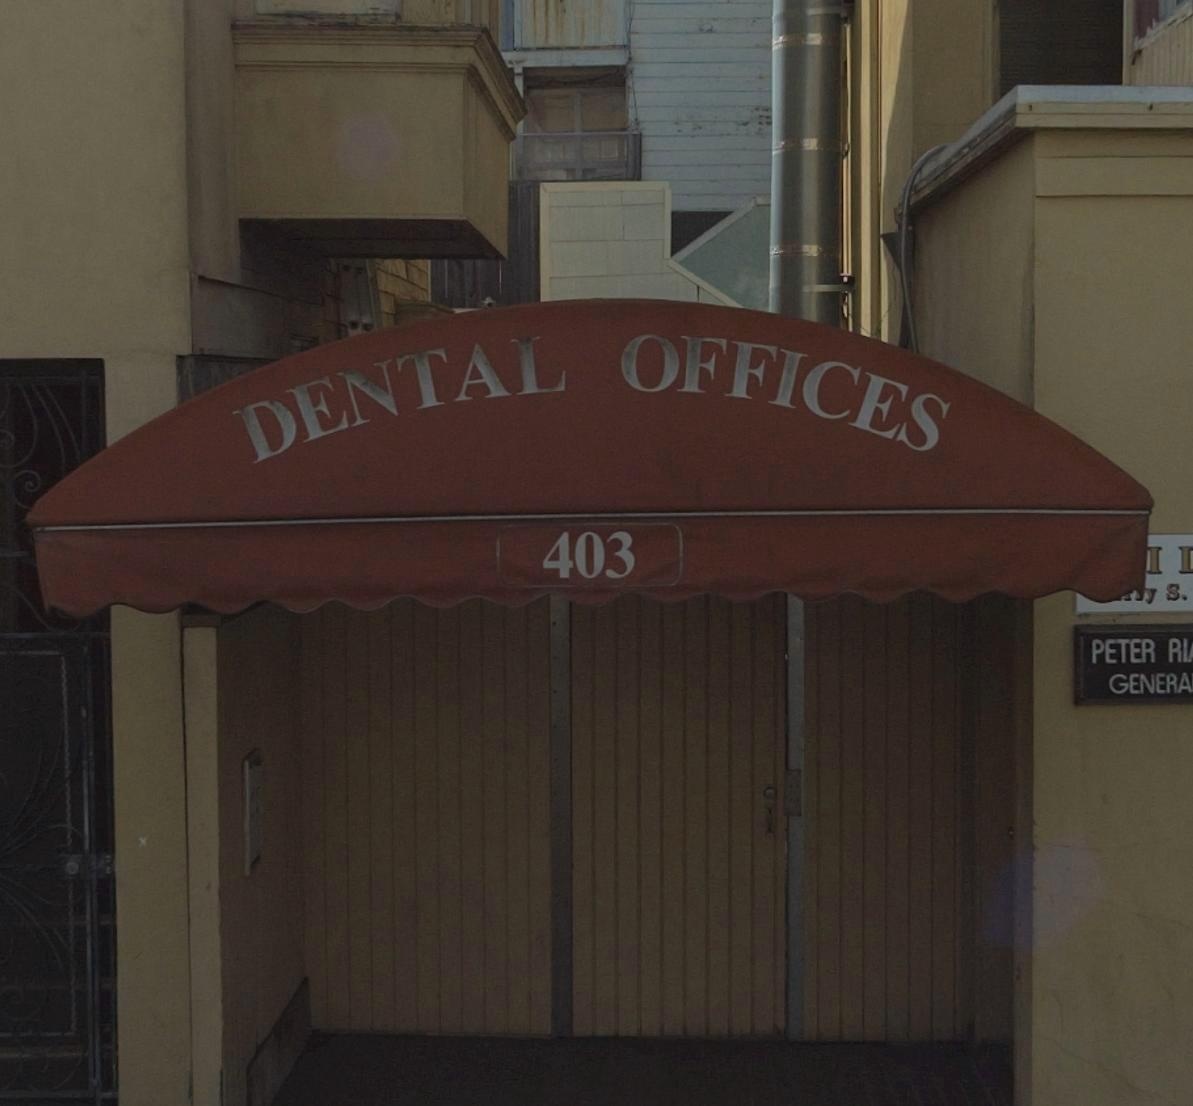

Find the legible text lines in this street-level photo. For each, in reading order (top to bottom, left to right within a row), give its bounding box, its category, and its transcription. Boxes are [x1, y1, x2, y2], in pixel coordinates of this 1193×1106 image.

[227, 331, 956, 466] None: DENTAL OFFICES
[540, 528, 638, 581] StreetNumber: 403
[1146, 545, 1192, 575] None: I I
[1144, 581, 1182, 607] None: y S
[1089, 635, 1183, 666] None: PETER R
[1107, 670, 1192, 697] None: GENERA